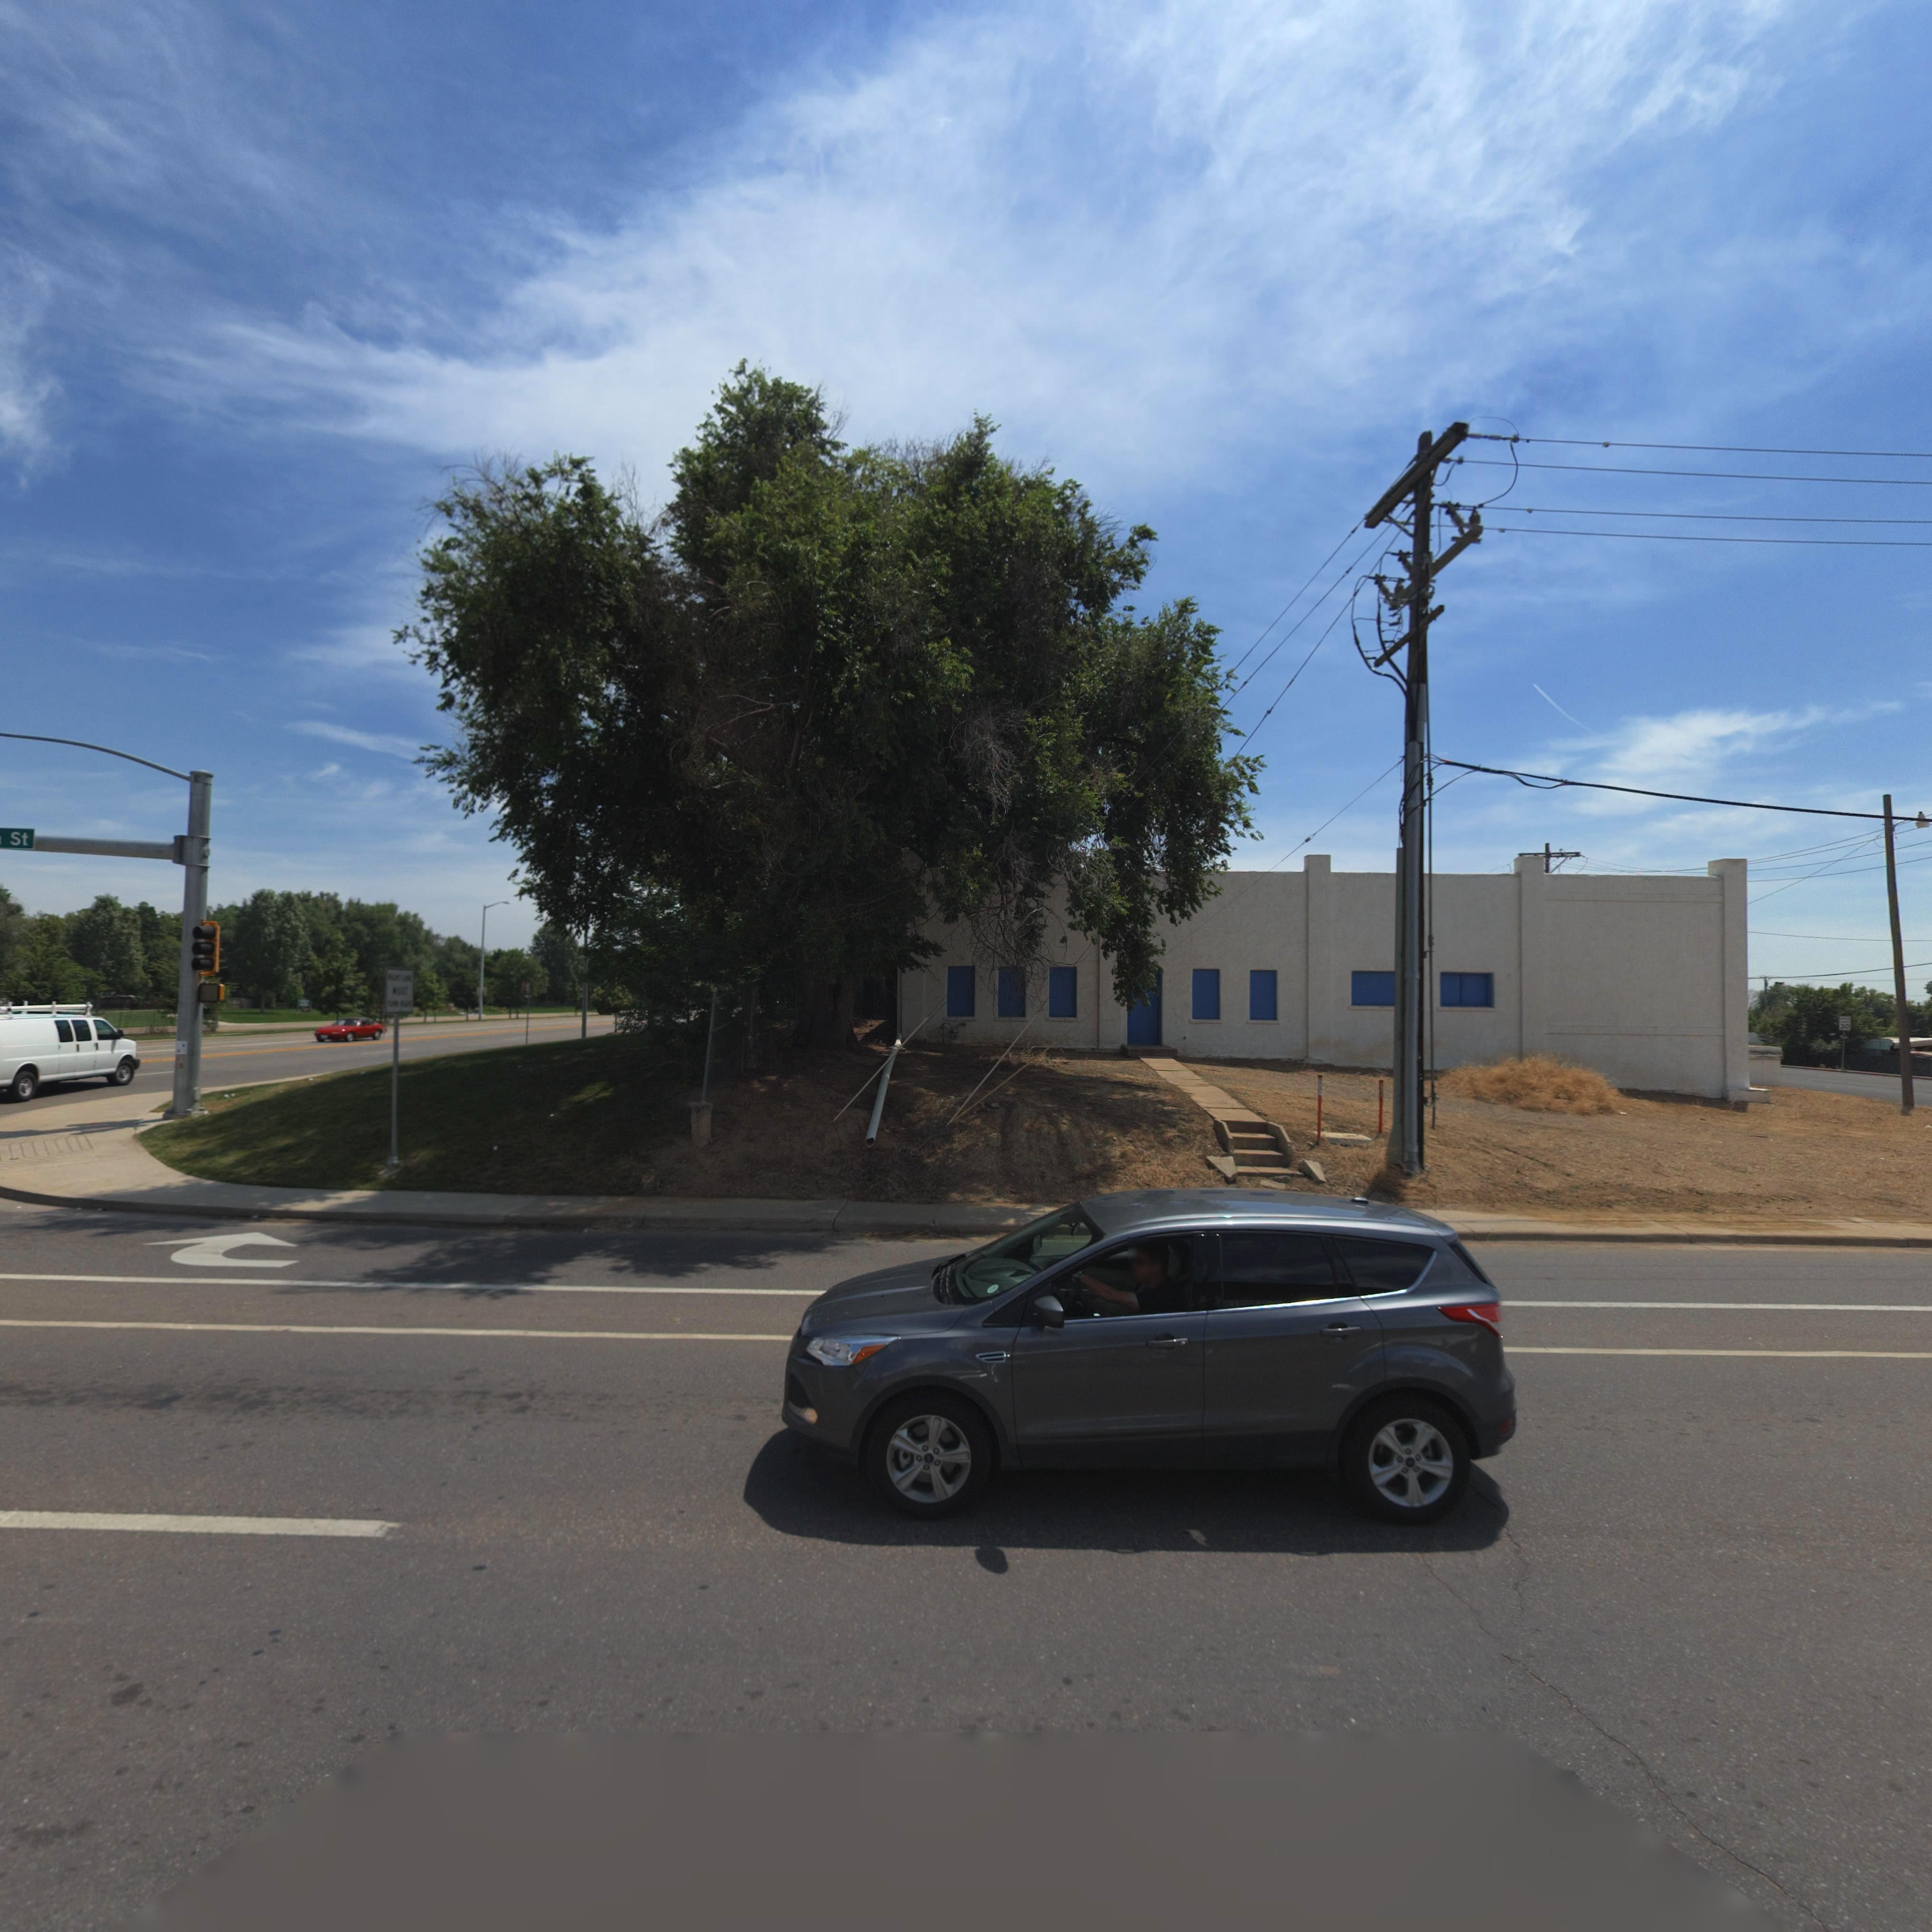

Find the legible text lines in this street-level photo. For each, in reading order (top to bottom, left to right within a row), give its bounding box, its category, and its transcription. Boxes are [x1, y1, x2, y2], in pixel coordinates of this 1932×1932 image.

[9, 831, 29, 846] StreetName: St